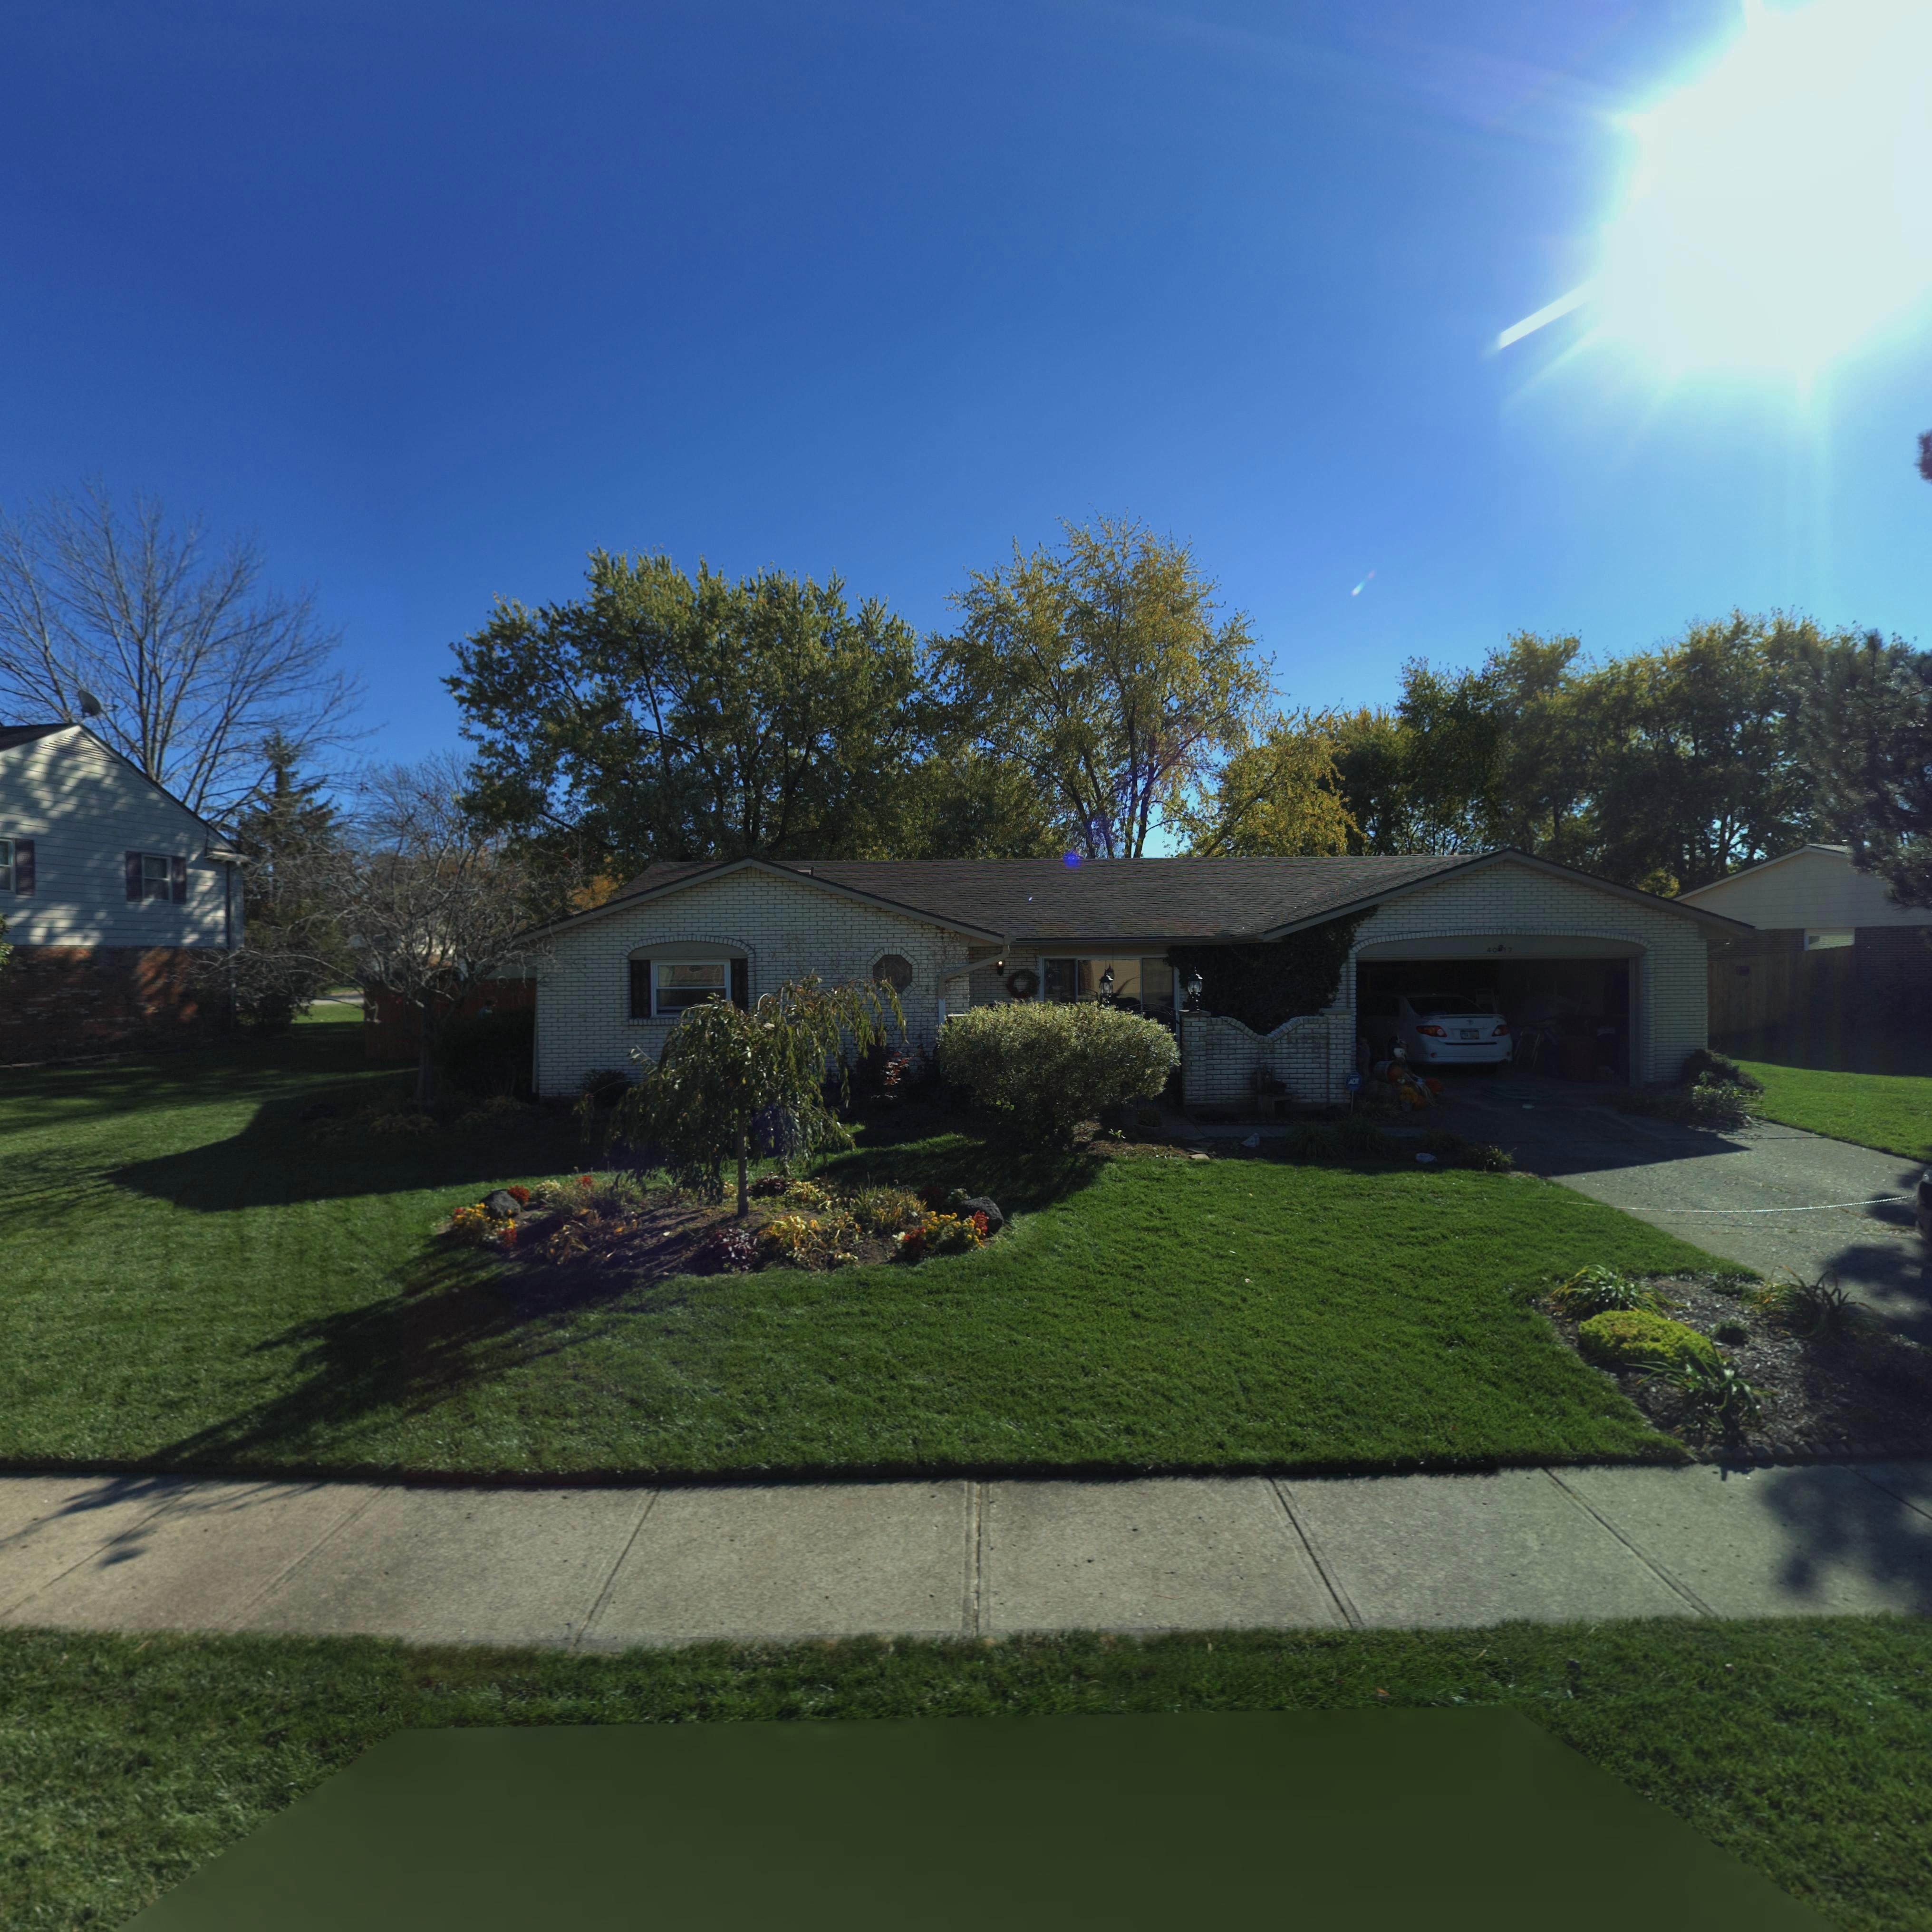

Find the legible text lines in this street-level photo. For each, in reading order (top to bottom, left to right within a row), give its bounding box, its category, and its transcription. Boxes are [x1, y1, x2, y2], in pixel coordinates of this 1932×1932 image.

[1487, 947, 1513, 954] StreetNumber: 40*12